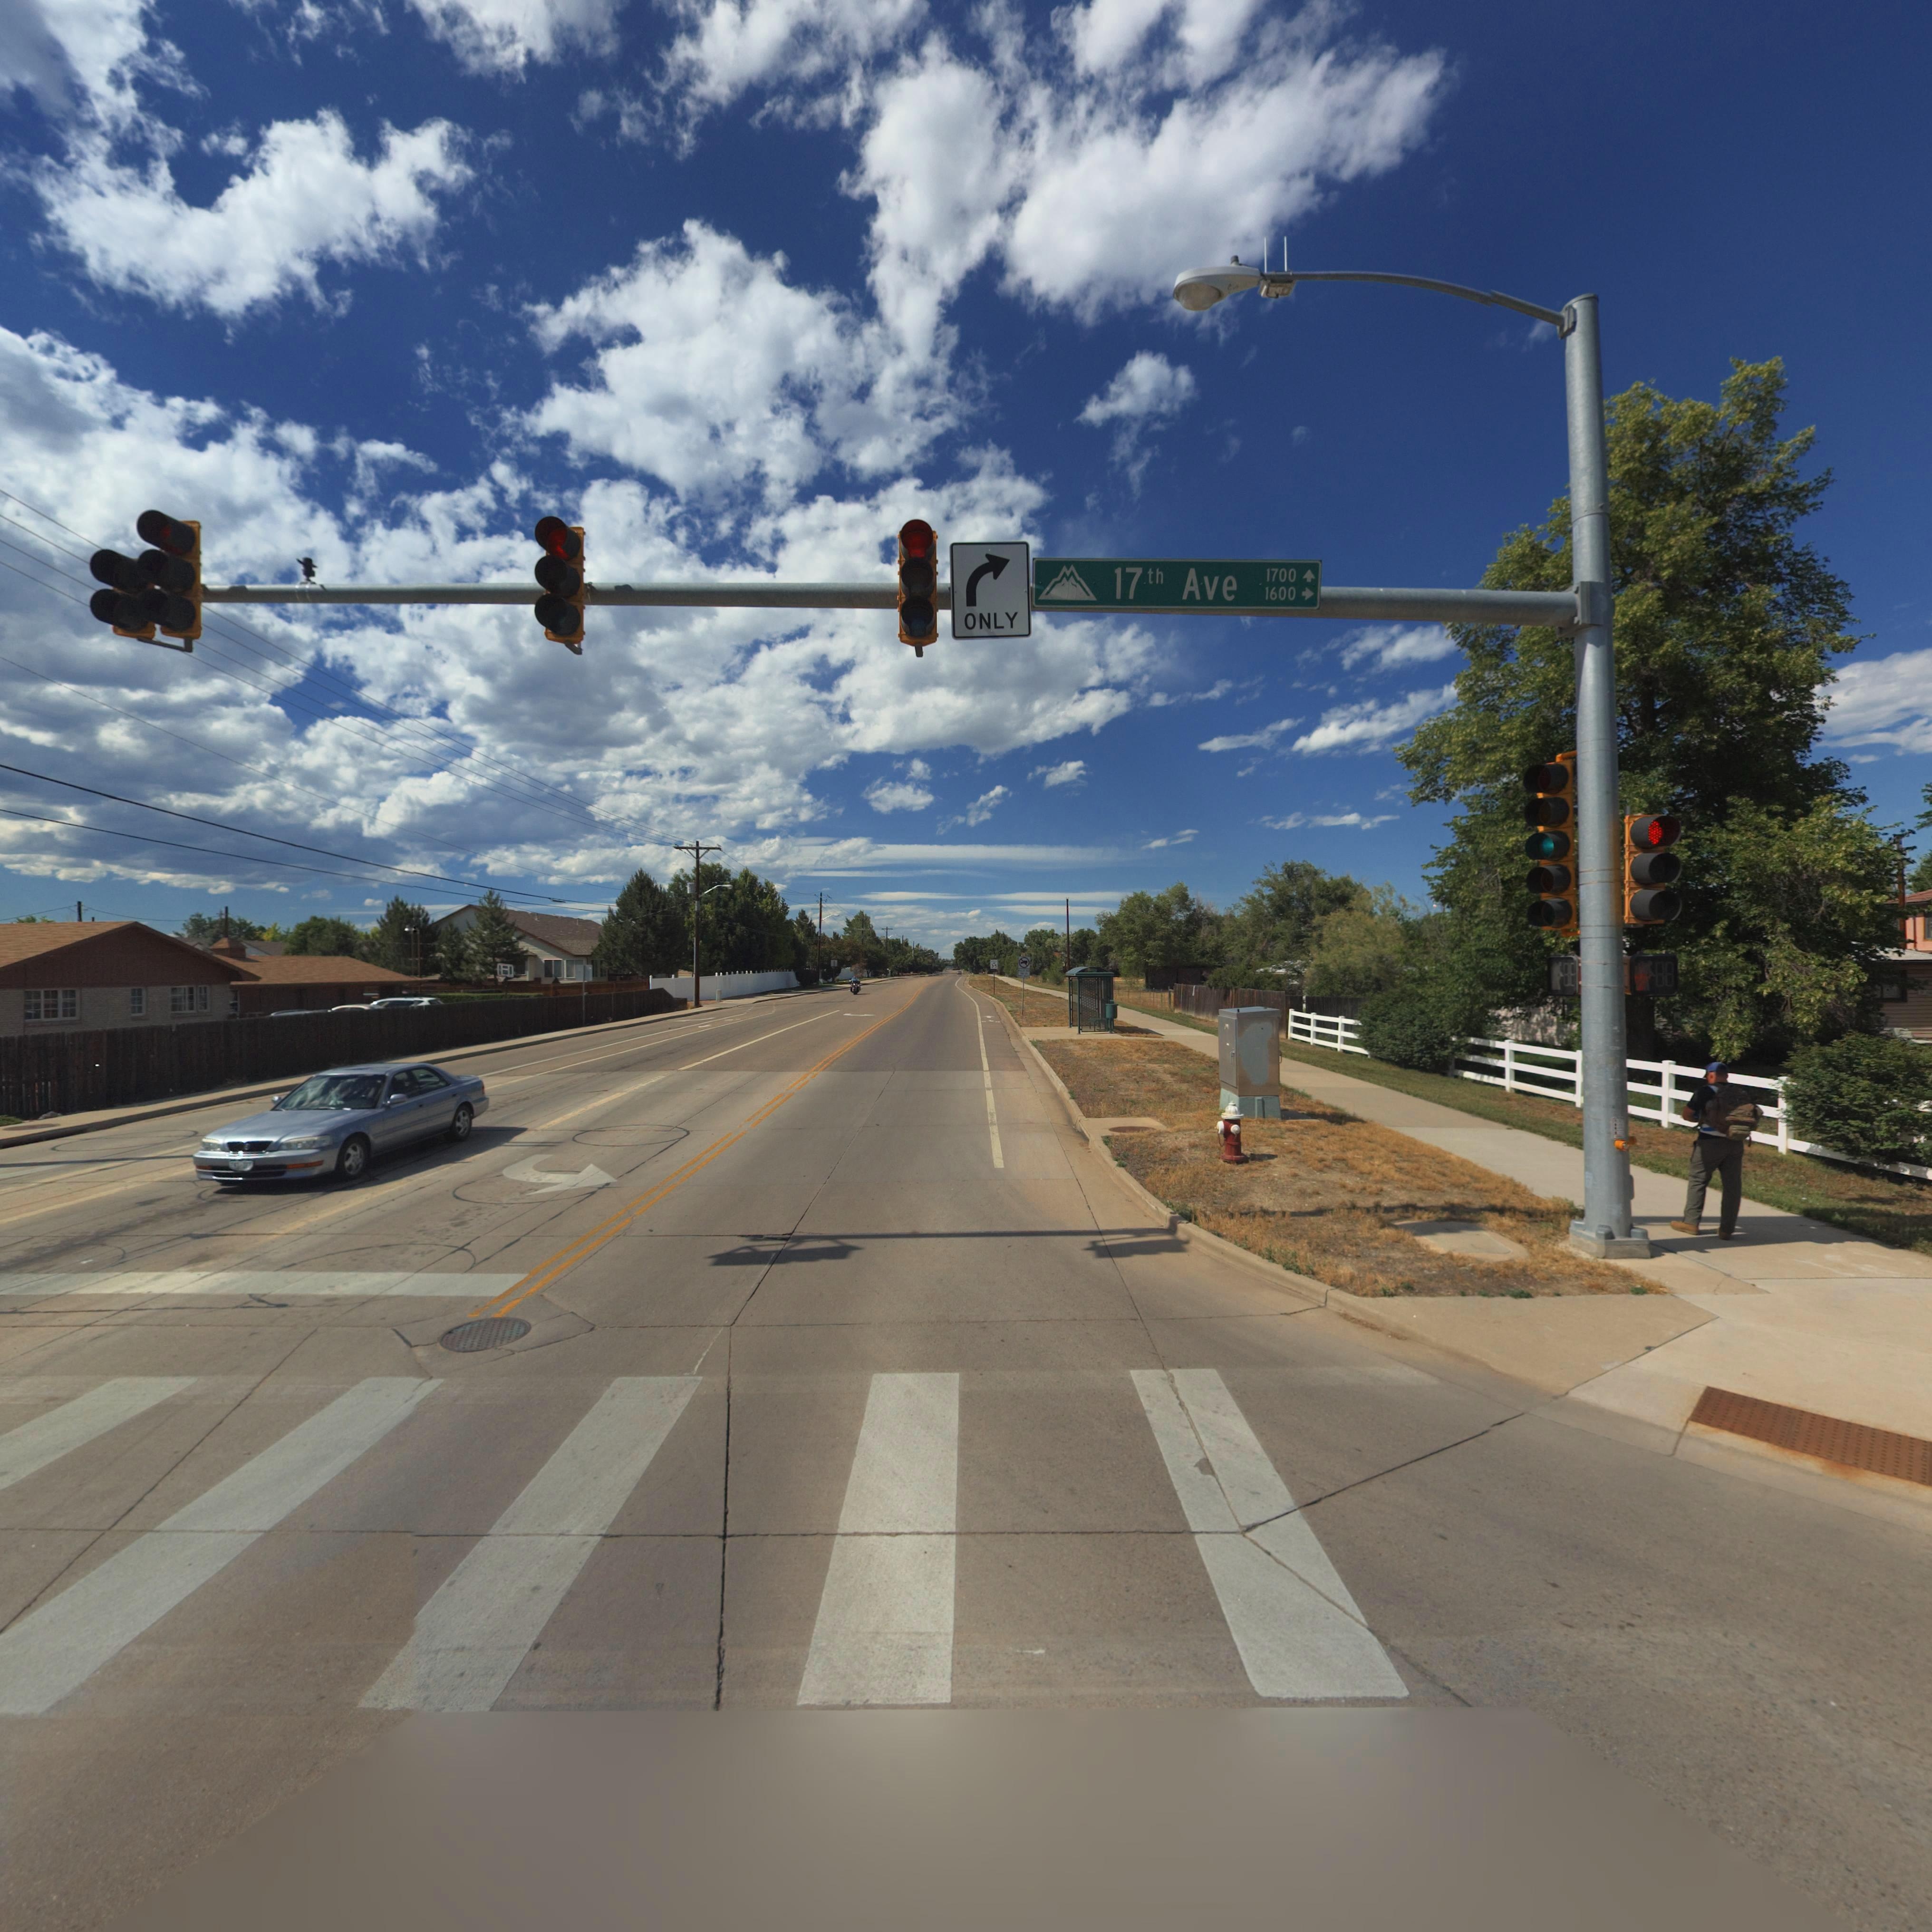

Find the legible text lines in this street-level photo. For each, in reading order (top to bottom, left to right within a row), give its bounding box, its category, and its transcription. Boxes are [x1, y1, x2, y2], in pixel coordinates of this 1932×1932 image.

[1266, 568, 1296, 583] StreetNumberRange: 1700
[1113, 566, 1238, 601] StreetName: 17th Ave
[1265, 586, 1315, 601] StreetNumberRange: 1600->